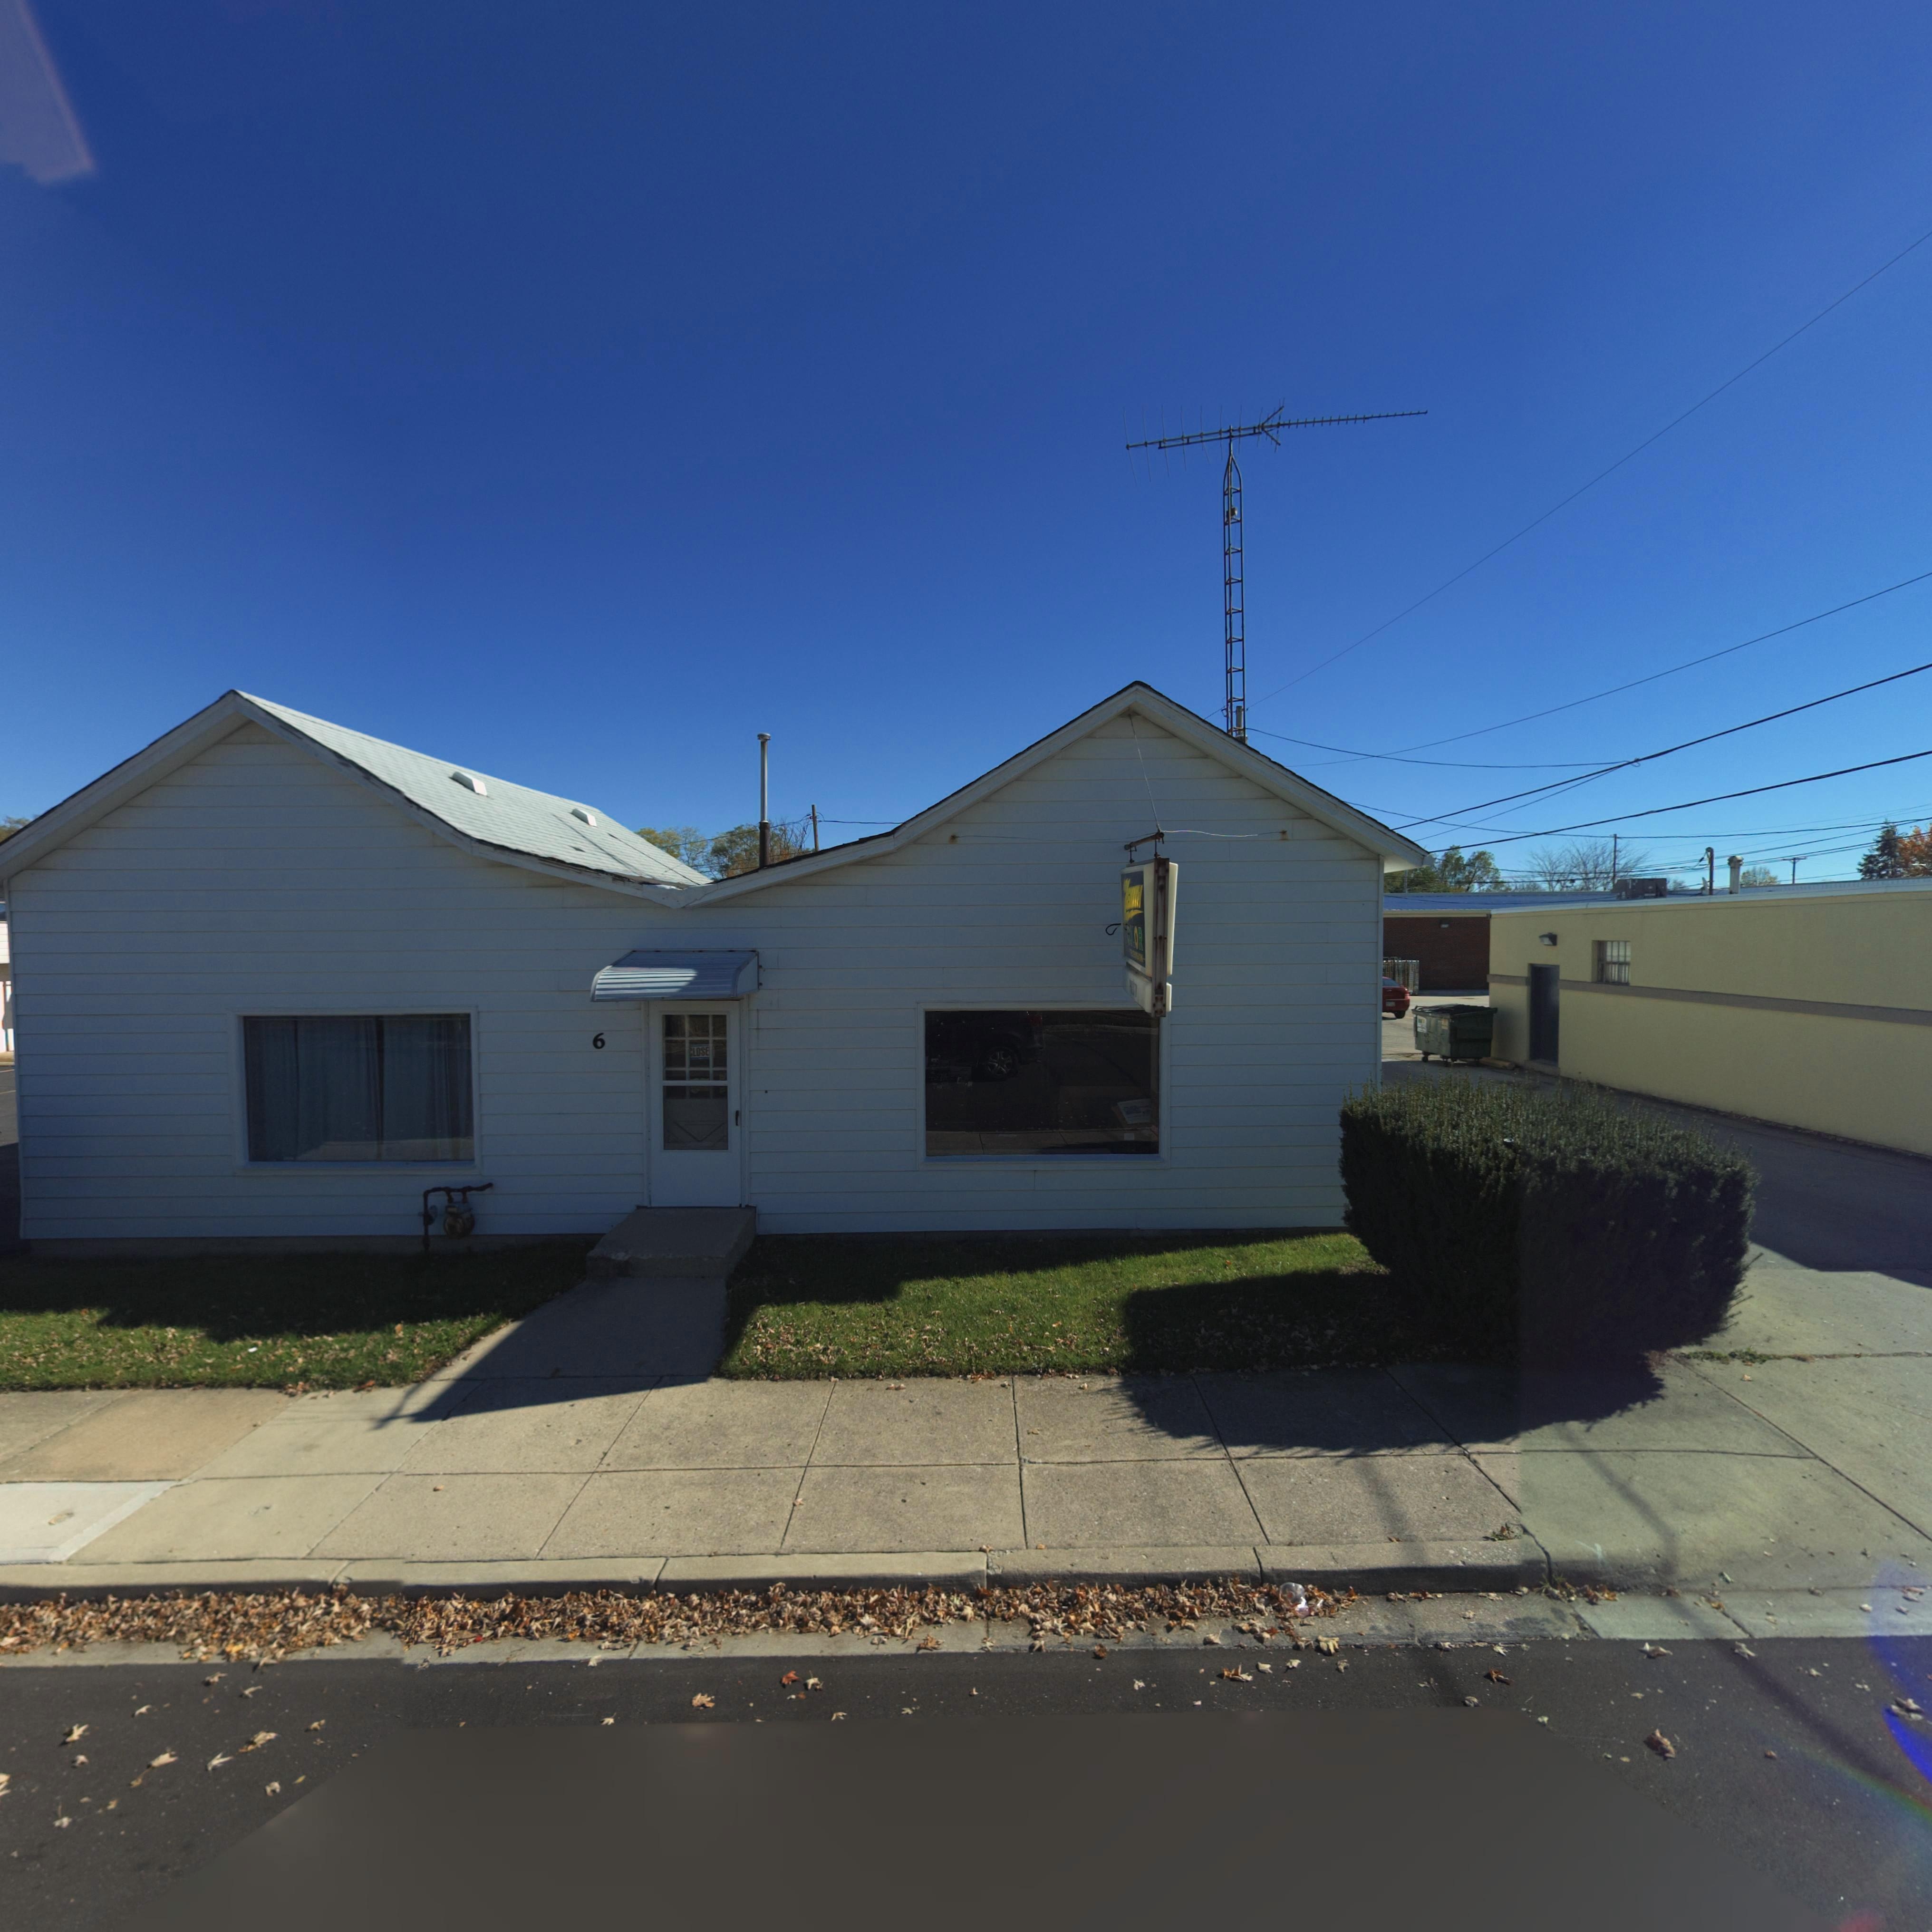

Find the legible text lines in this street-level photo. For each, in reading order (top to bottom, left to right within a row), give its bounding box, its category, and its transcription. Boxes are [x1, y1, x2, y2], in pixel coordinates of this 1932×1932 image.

[593, 1033, 605, 1049] StreetNumber: 6